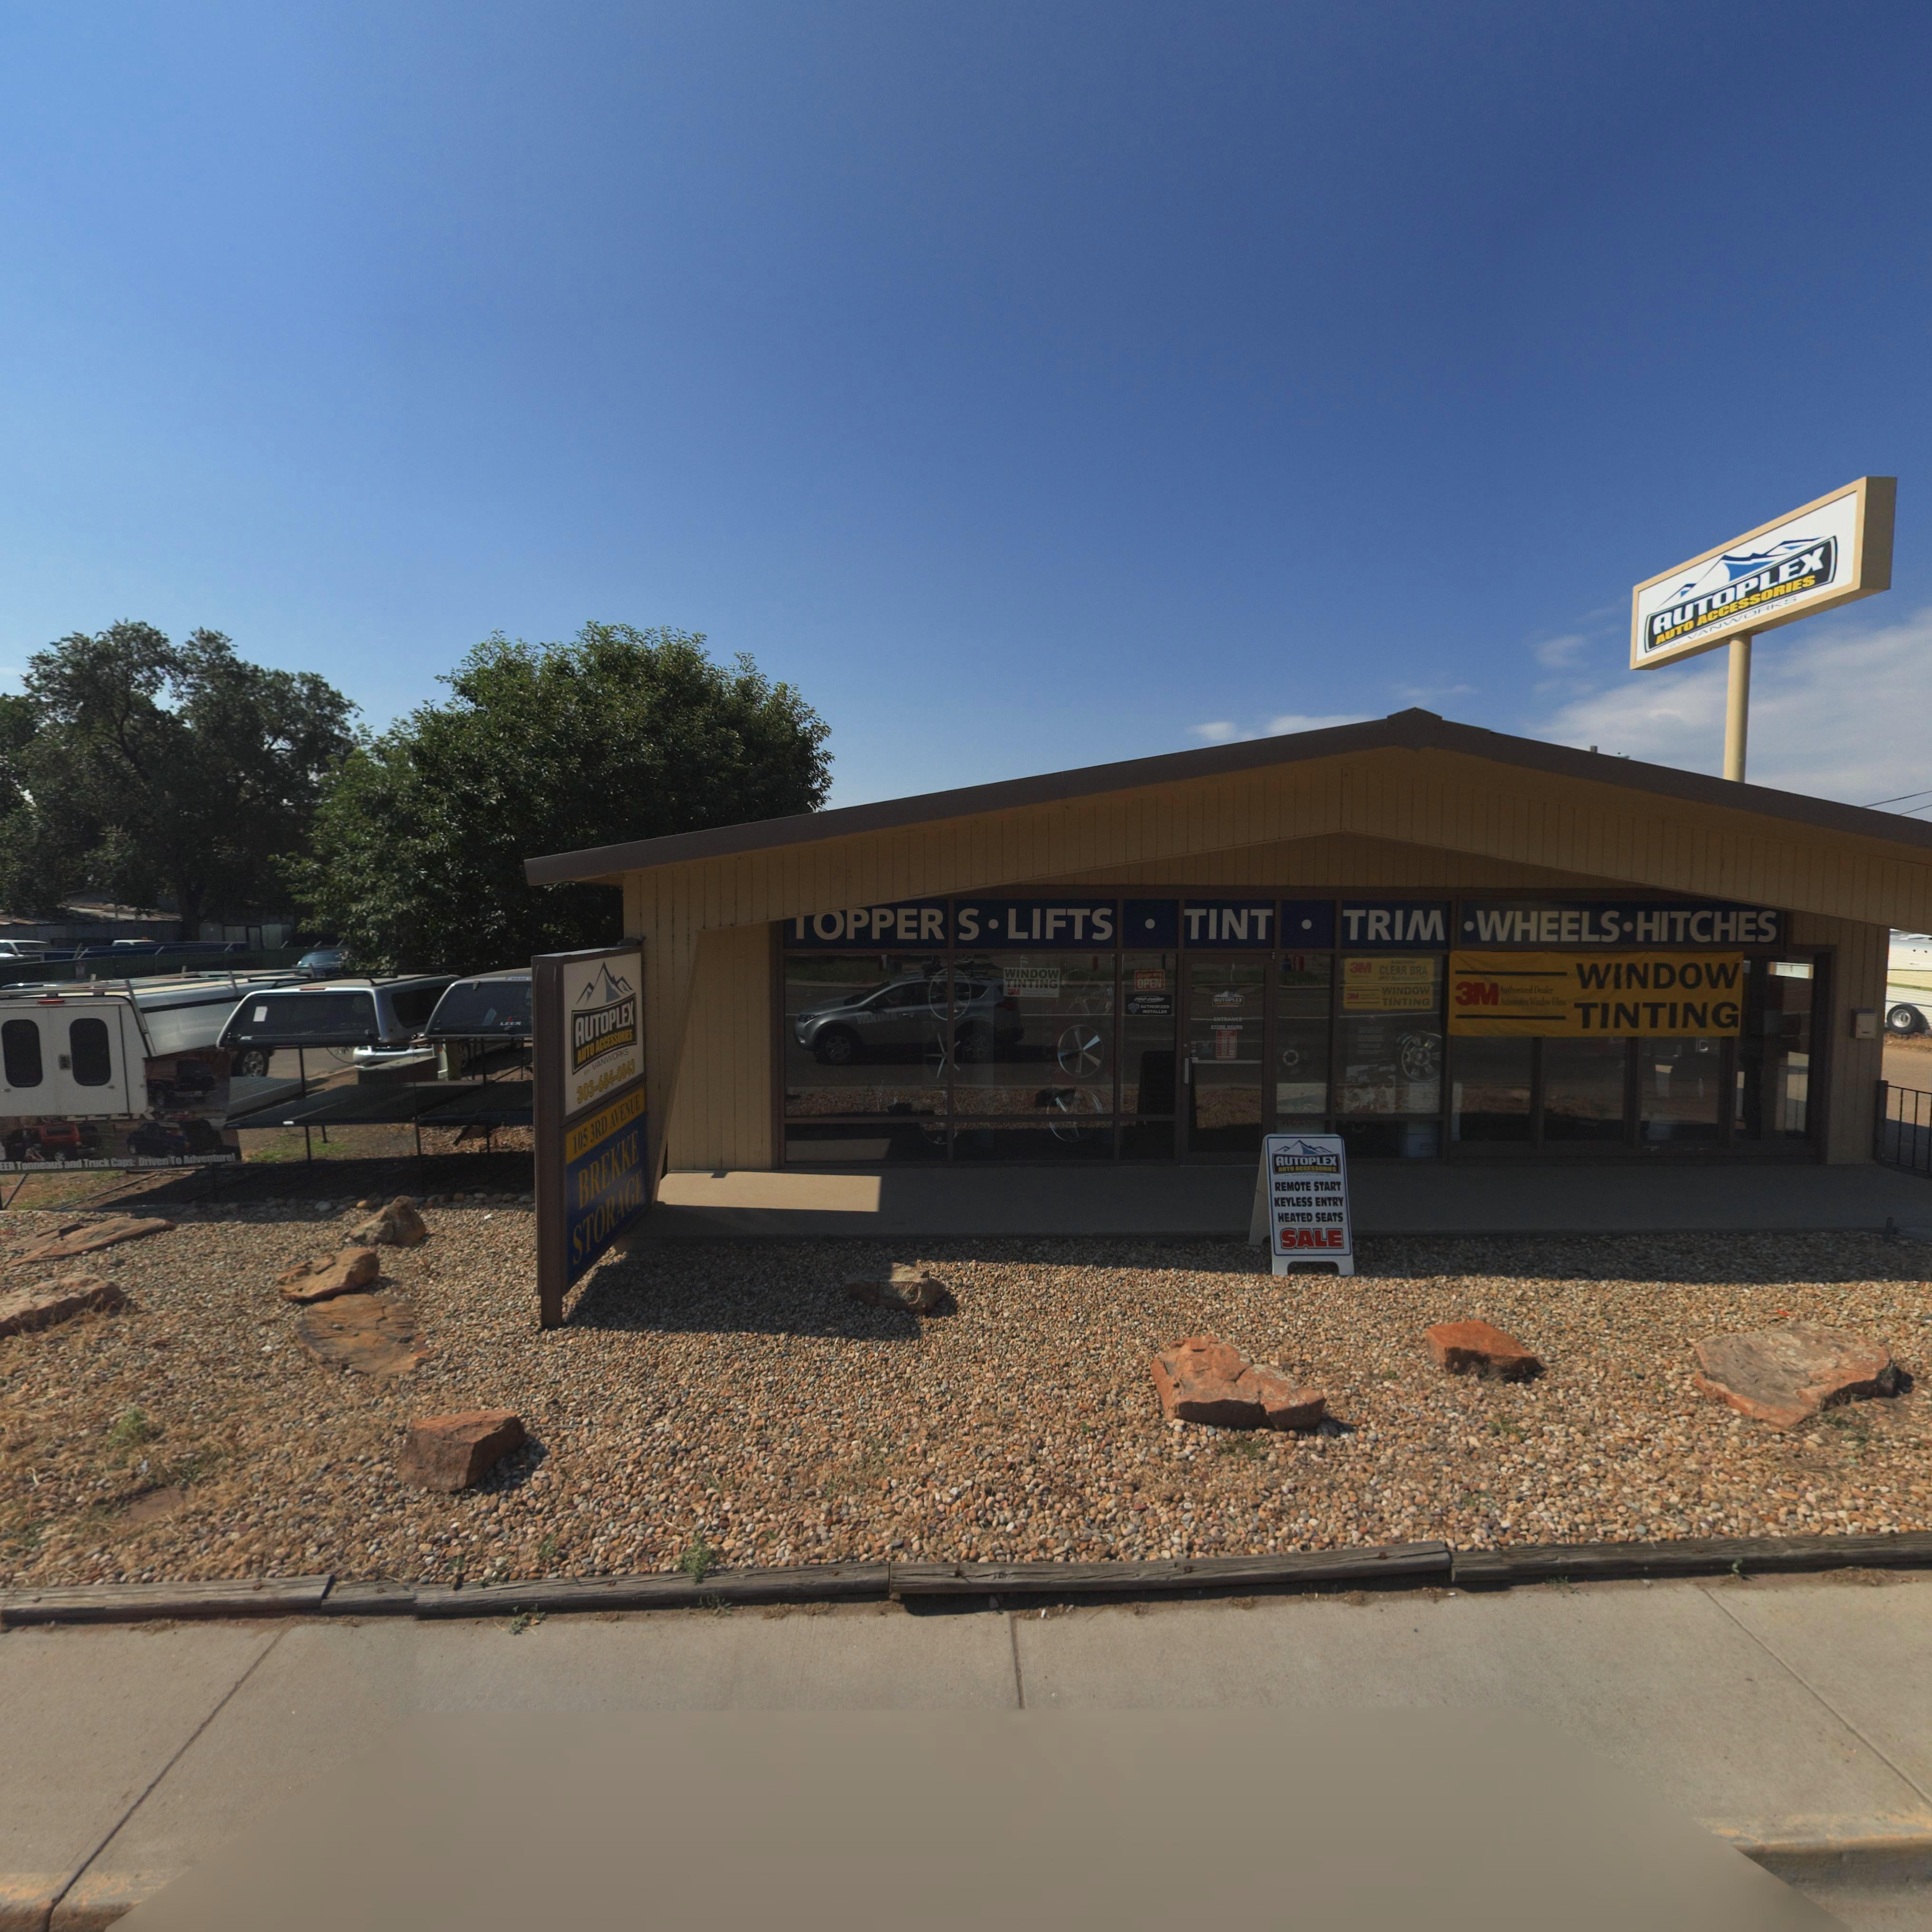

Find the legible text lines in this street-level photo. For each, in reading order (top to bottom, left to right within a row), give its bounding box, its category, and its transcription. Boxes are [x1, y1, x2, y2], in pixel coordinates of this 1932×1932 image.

[1654, 573, 1817, 645] BusinessName: AUTO ACCESSORIES
[1651, 544, 1825, 637] BusinessName: AUTOPLEX
[574, 999, 634, 1048] BusinessName: AUTOPLEX
[577, 1028, 633, 1065] BusinessName: AUTO ACCESSORIES
[1213, 997, 1243, 1002] BusinessName: AUTOPLEX
[572, 1126, 589, 1155] StreetNumber: 105
[576, 1127, 641, 1211] BusinessName: BREKKE
[589, 1092, 641, 1143] StreetName: 3RD AVENUE
[1275, 1155, 1337, 1167] BusinessName: AUTOPLEX
[1277, 1165, 1337, 1172] BusinessName: AUTO ACCESSORIES
[571, 1168, 644, 1269] BusinessName: STORAGE